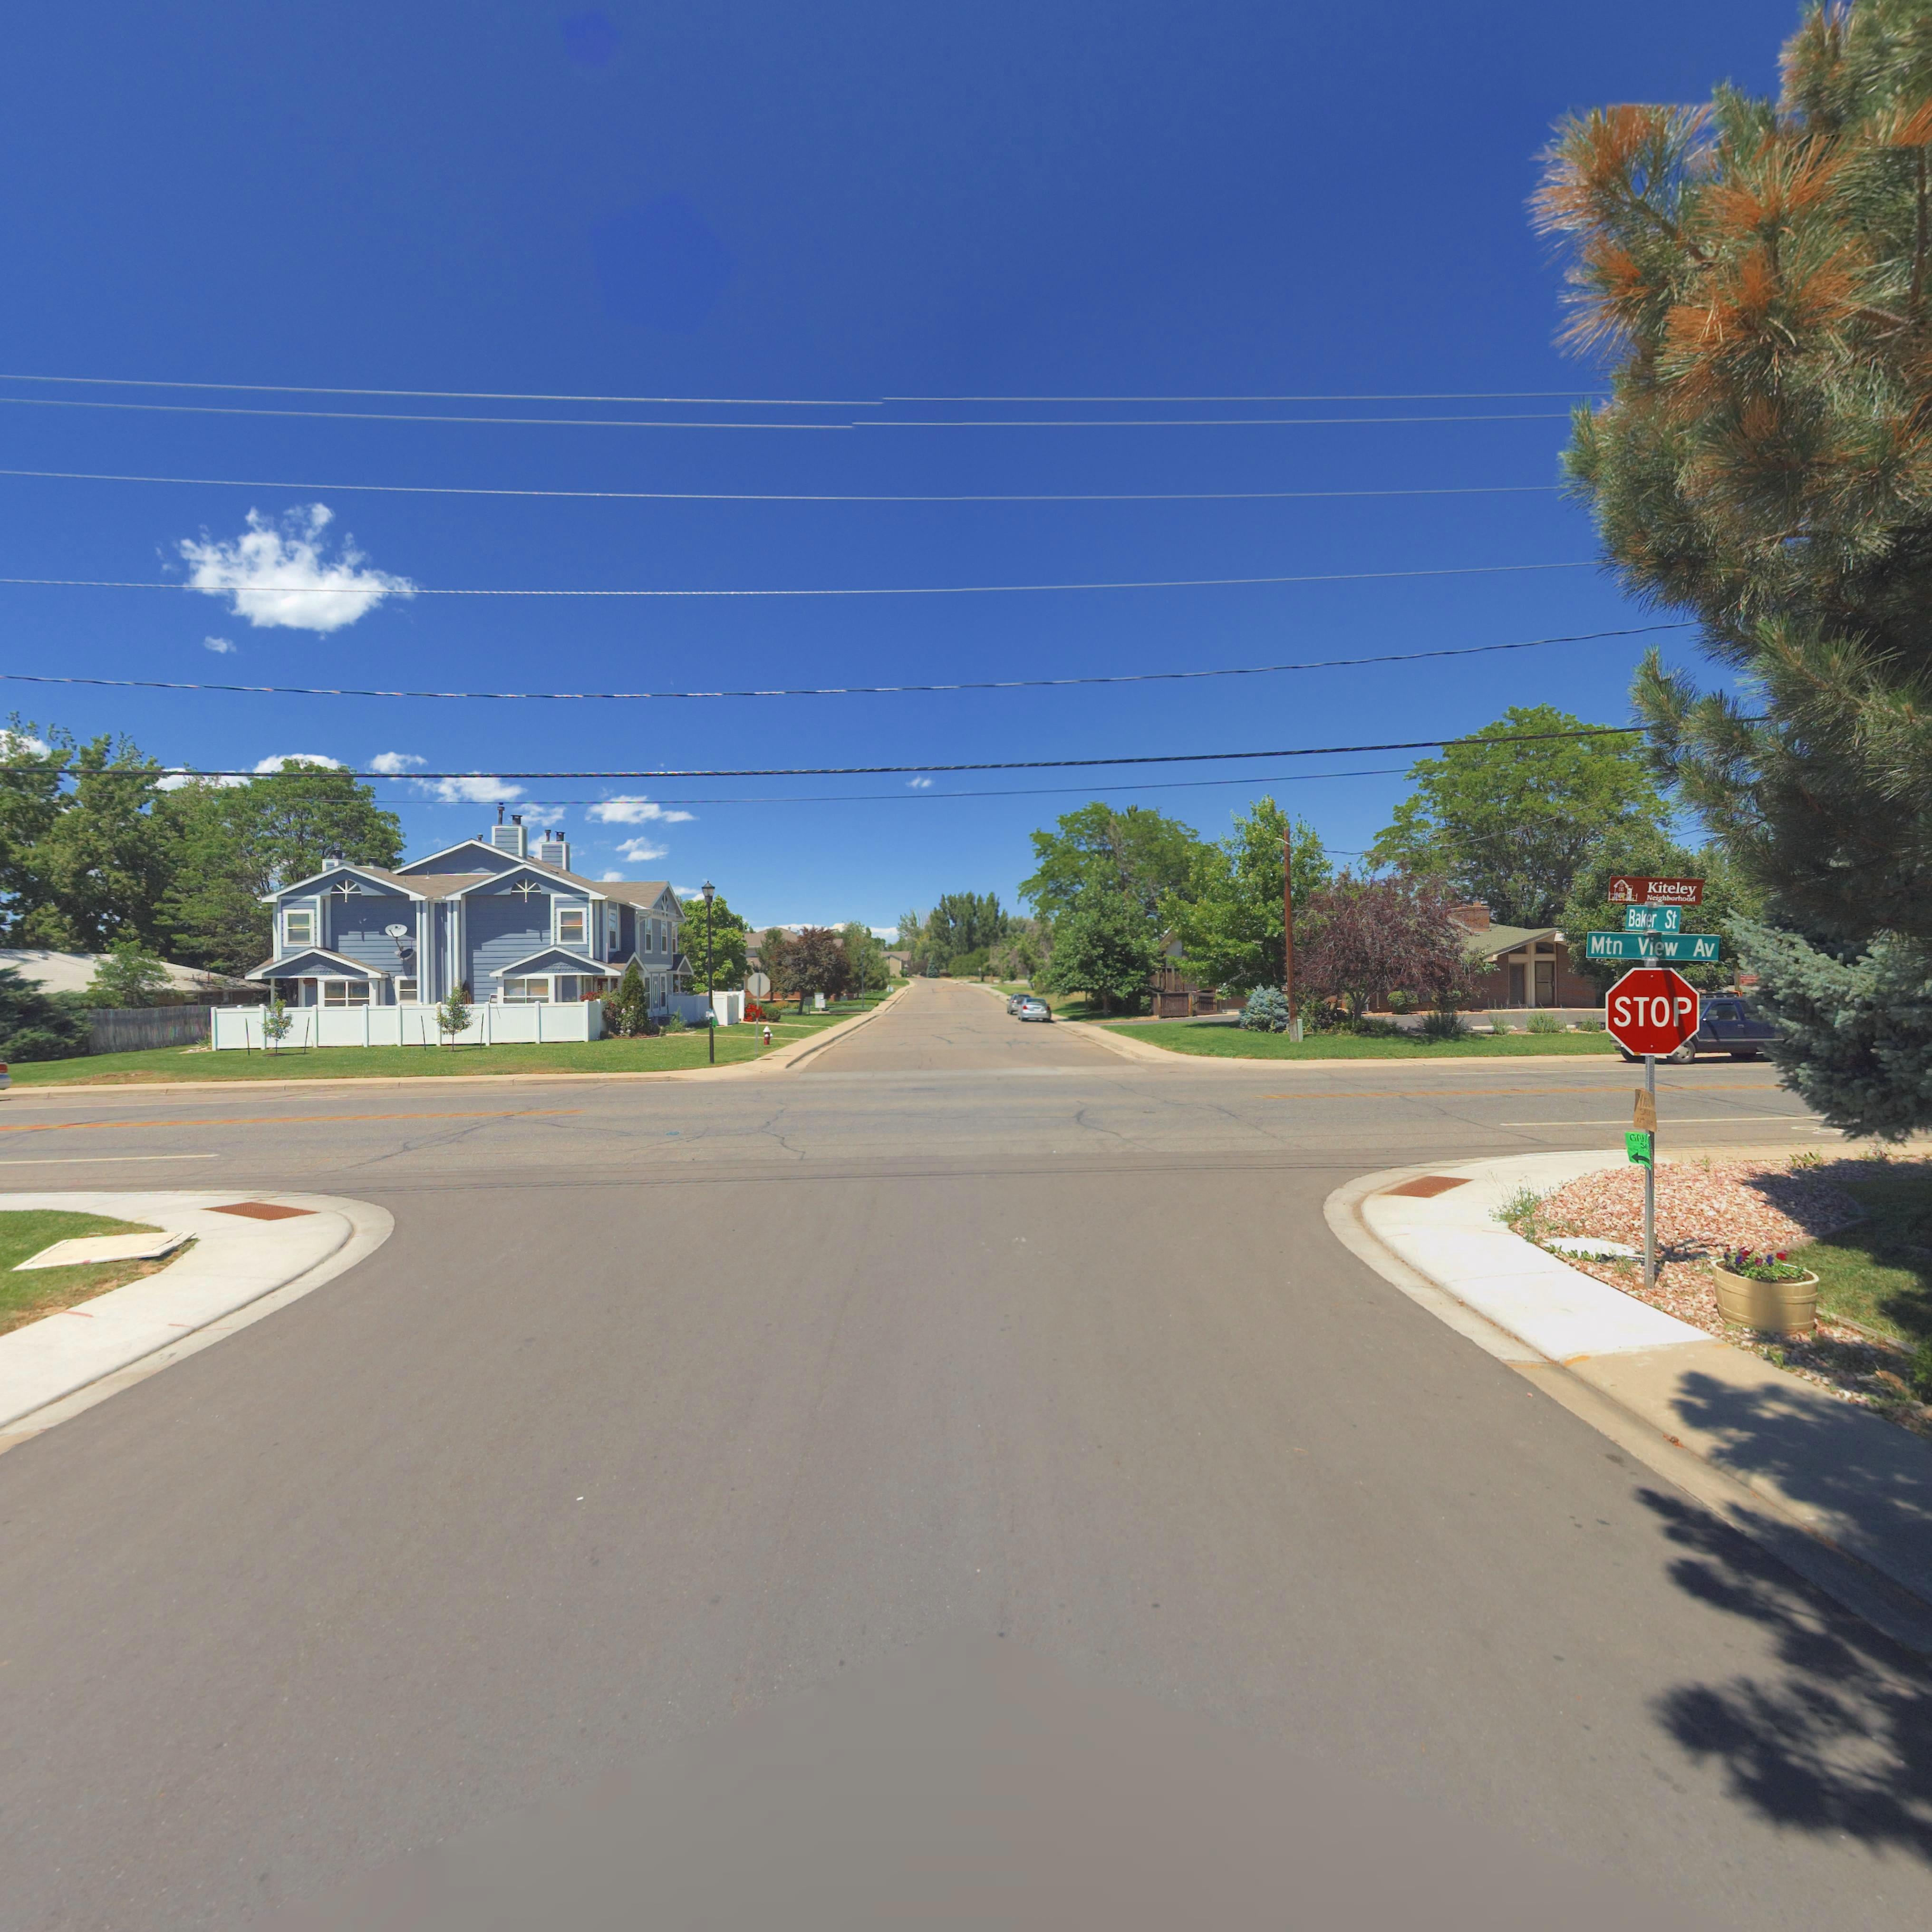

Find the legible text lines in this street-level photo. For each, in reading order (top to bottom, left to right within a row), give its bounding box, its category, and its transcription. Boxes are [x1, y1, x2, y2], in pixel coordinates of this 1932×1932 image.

[1628, 908, 1677, 929] StreetName: Baker St
[1590, 935, 1716, 958] StreetName: Mtn View Av
[1636, 1116, 1653, 1126] StreetName: 12** Ave